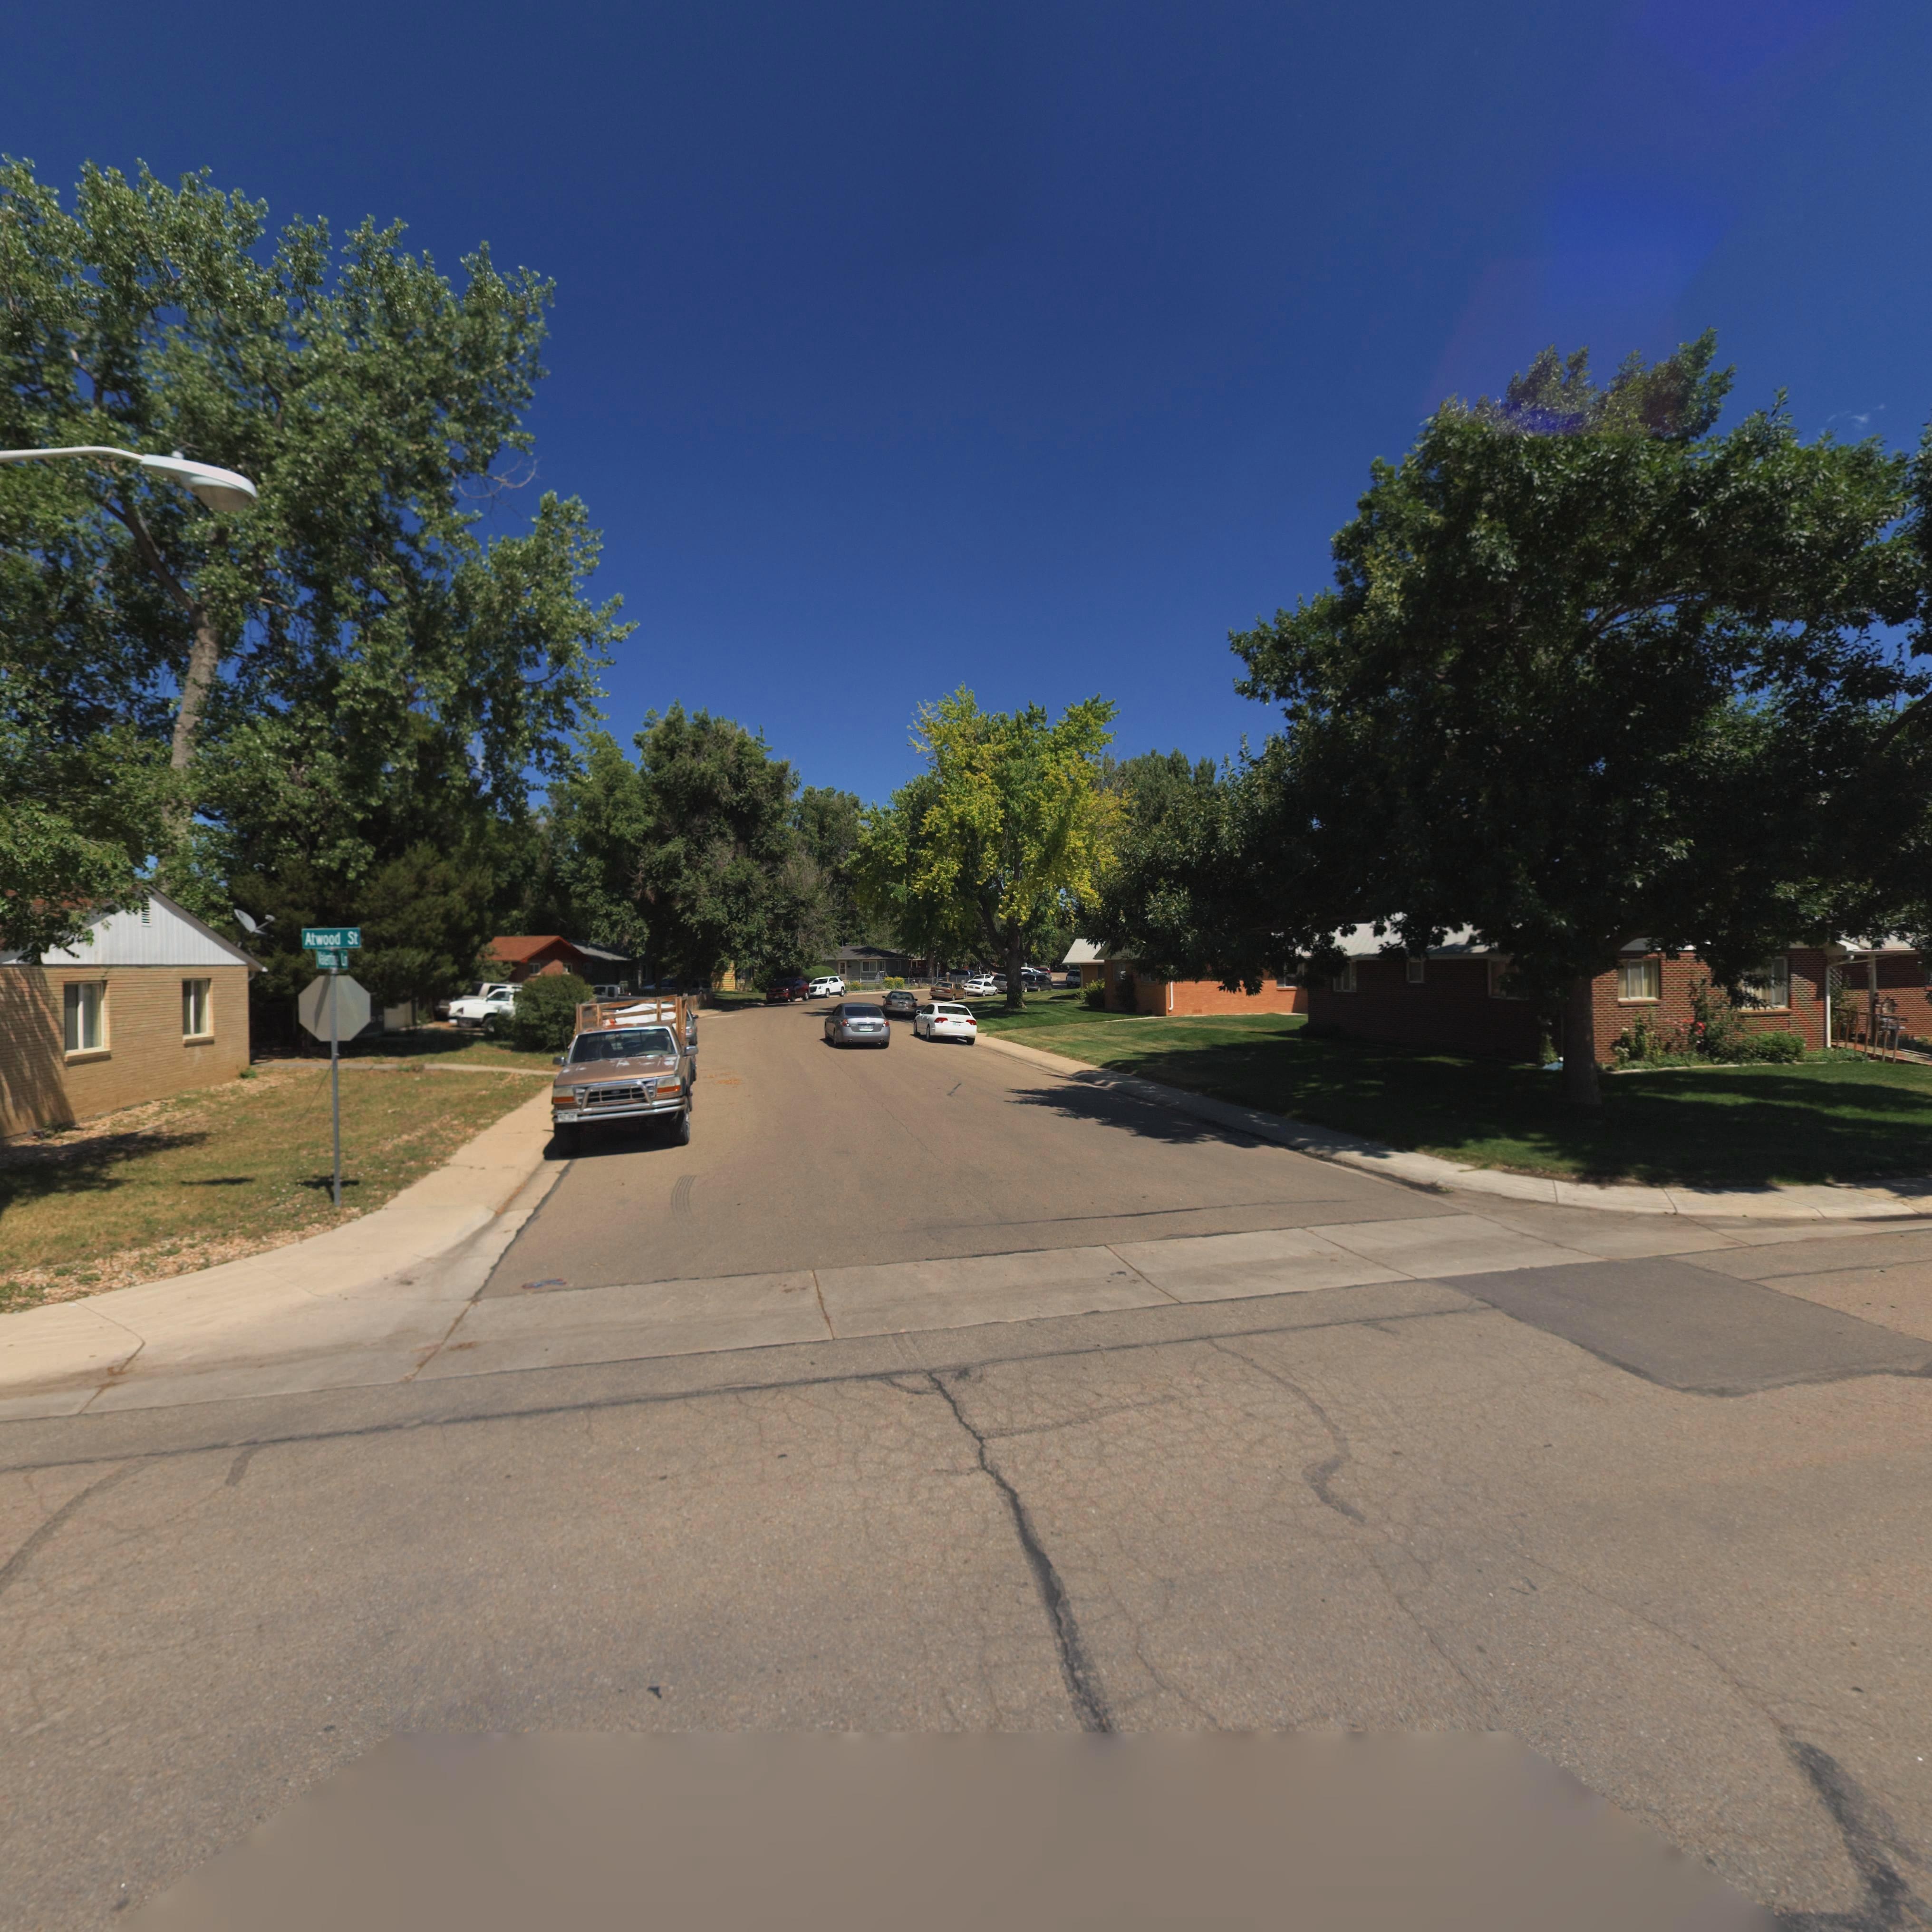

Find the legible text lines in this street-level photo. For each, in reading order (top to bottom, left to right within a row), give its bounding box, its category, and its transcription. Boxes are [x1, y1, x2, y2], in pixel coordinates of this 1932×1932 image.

[304, 930, 358, 945] StreetName: Atwood St
[318, 951, 348, 966] StreetName: *e****** Ln